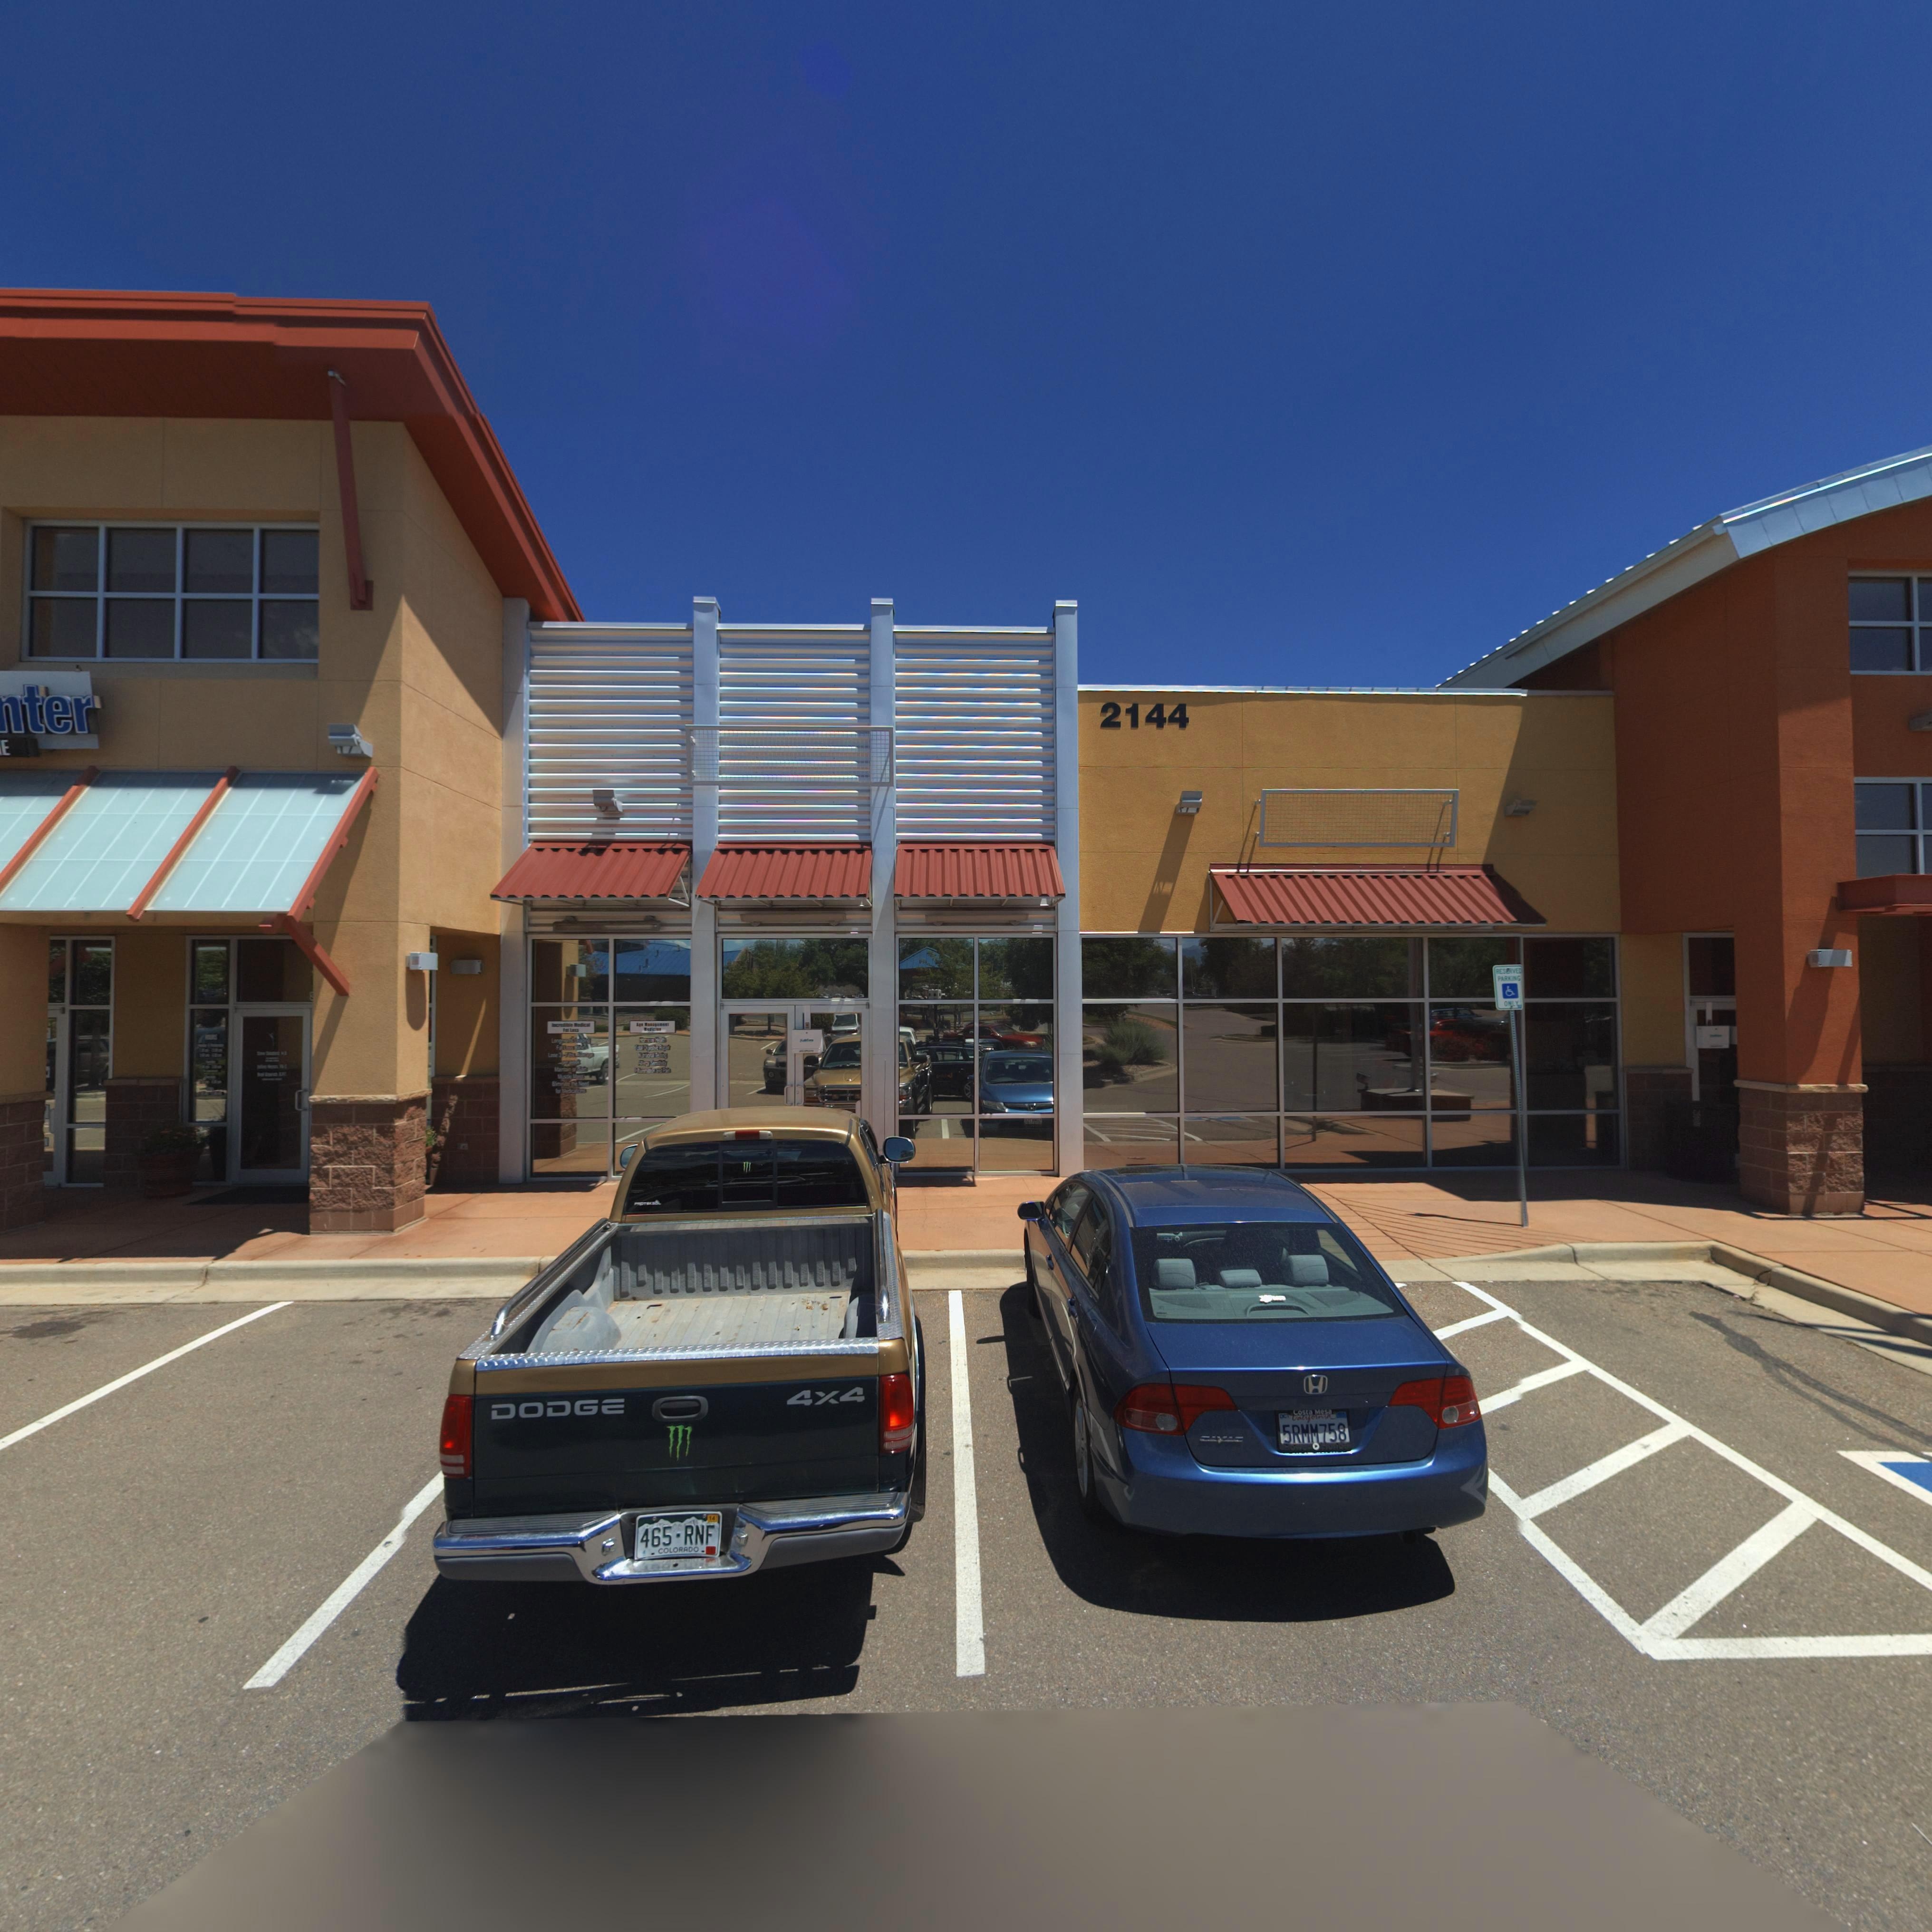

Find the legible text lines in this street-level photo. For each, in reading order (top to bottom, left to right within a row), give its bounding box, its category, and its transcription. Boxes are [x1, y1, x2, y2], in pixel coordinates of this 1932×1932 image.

[19, 682, 99, 735] BusinessName: ter
[1099, 701, 1189, 728] StreetNumber: 2144